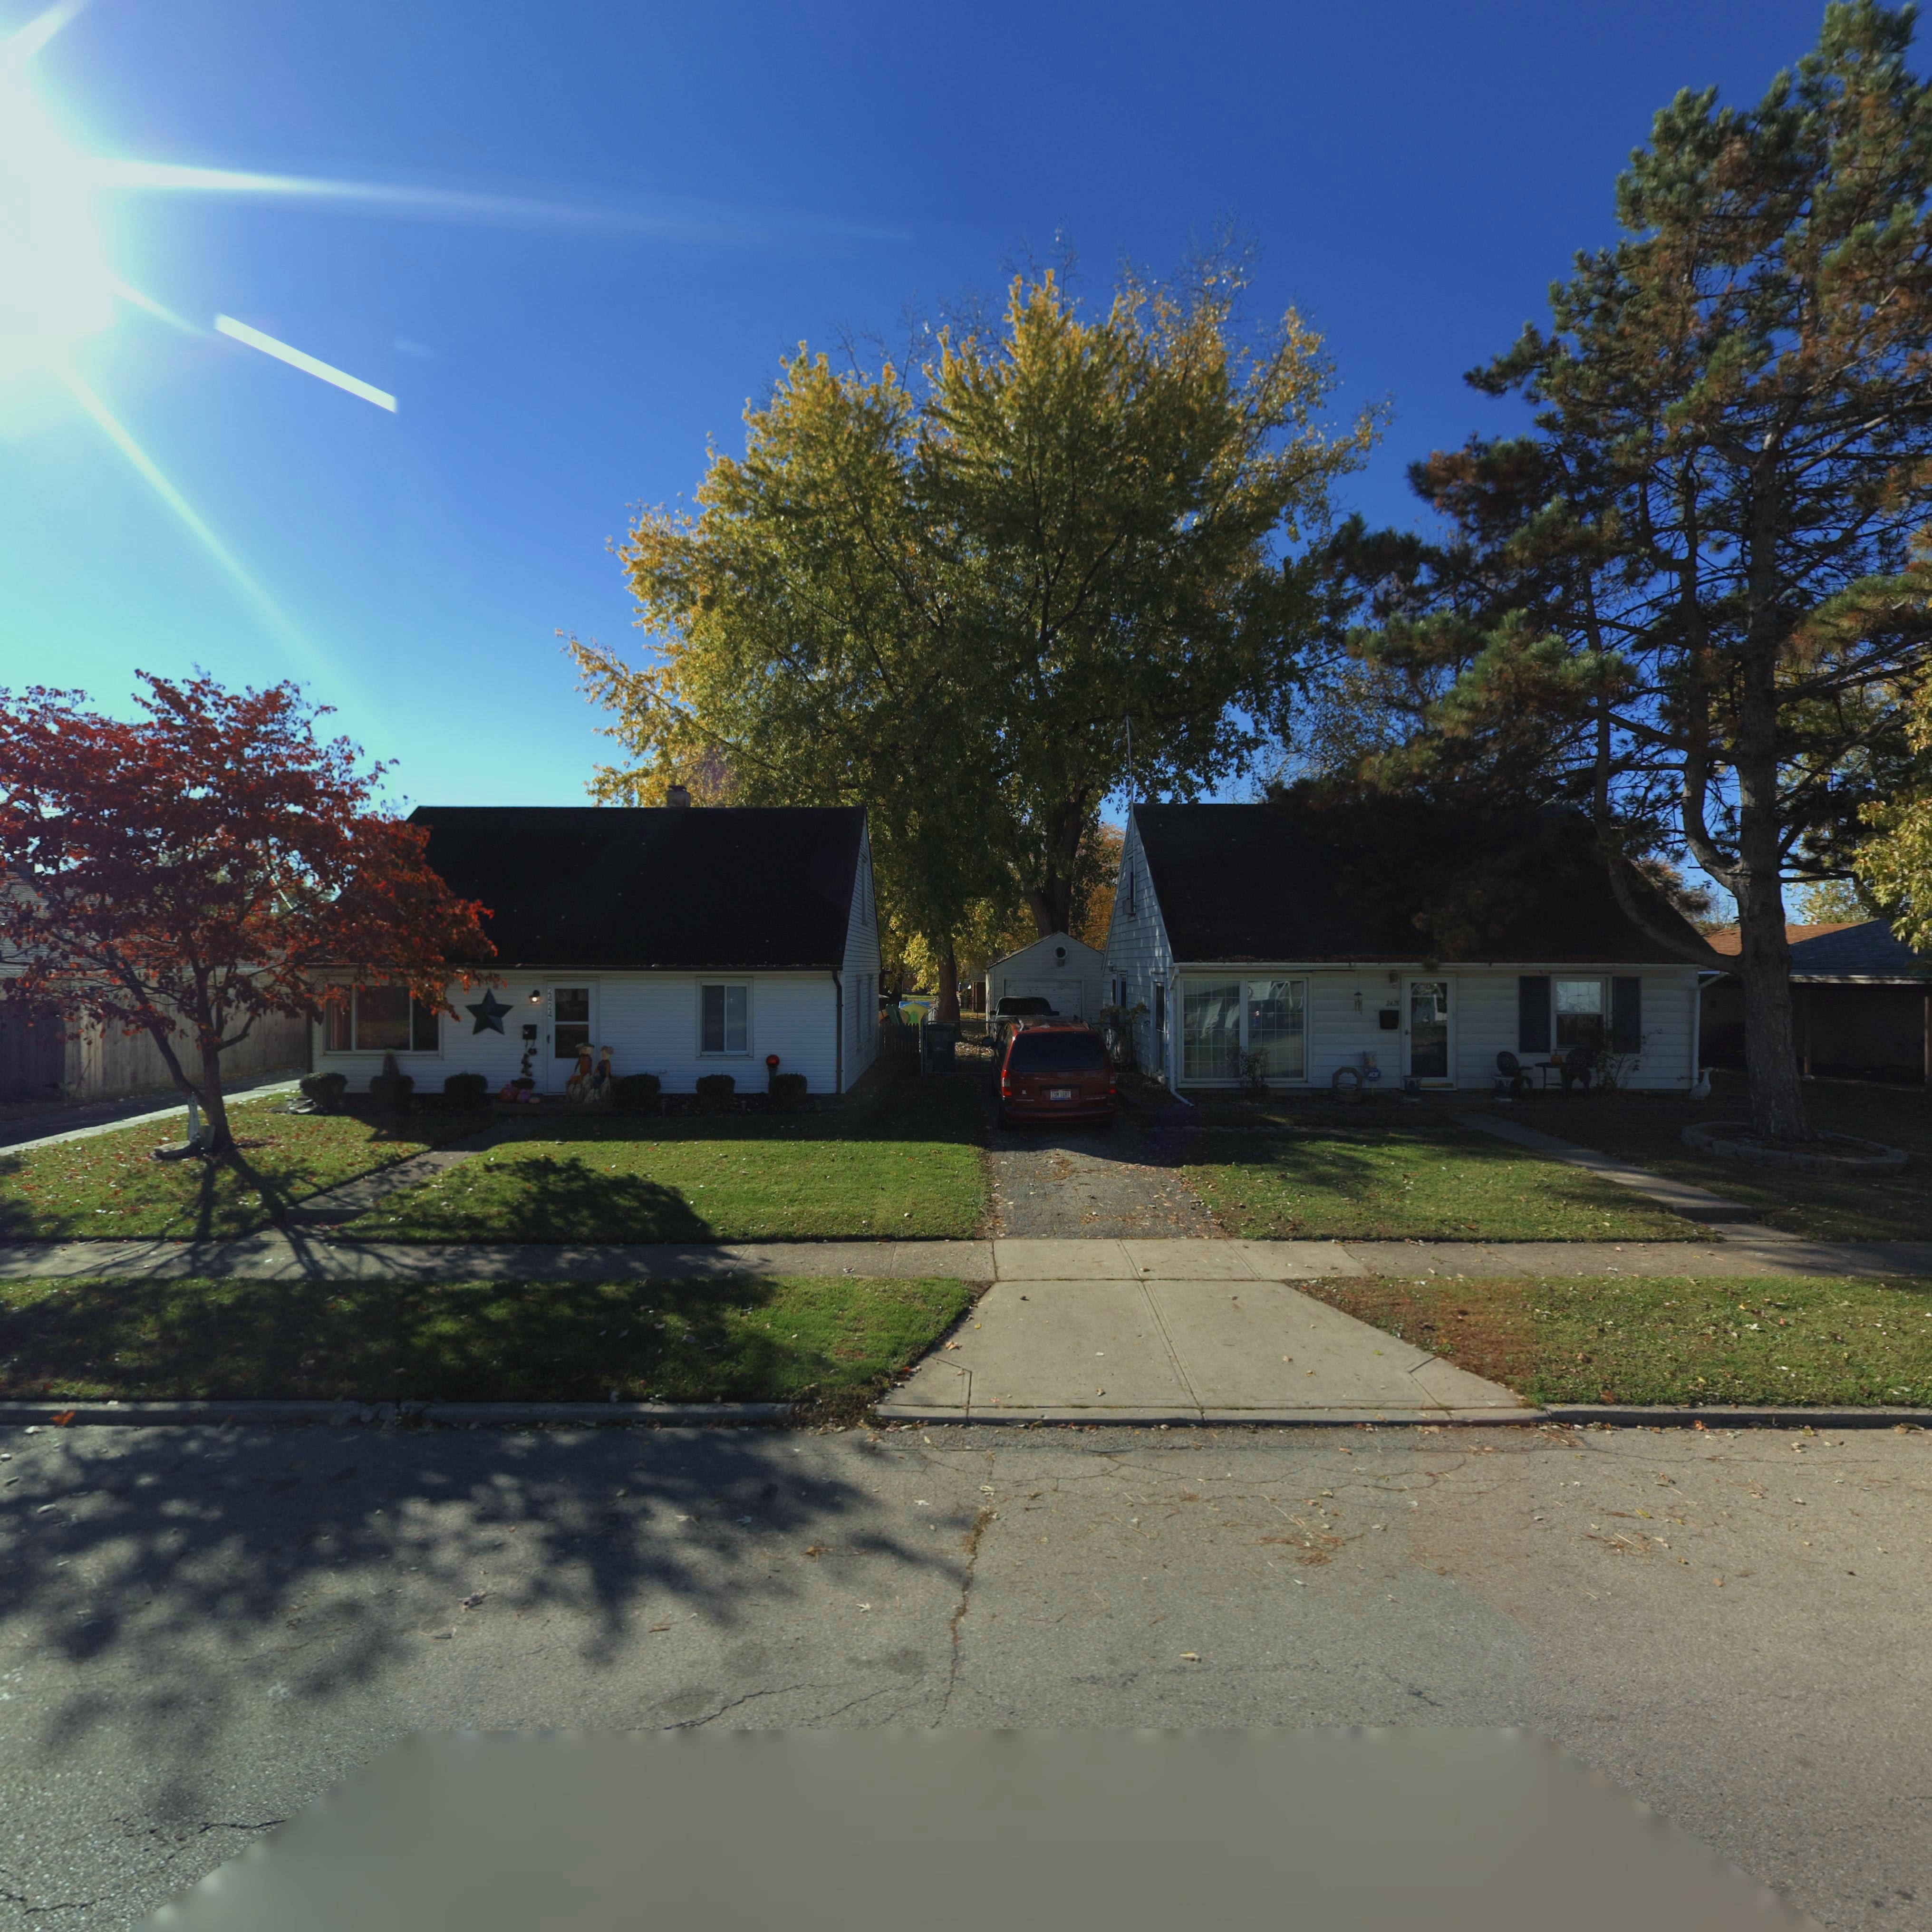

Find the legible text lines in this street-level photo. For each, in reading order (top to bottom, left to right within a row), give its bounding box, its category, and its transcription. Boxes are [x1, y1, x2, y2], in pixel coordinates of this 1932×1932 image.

[547, 986, 552, 1018] StreetNumber: 2424
[1385, 1000, 1401, 1006] StreetNumber: 2428